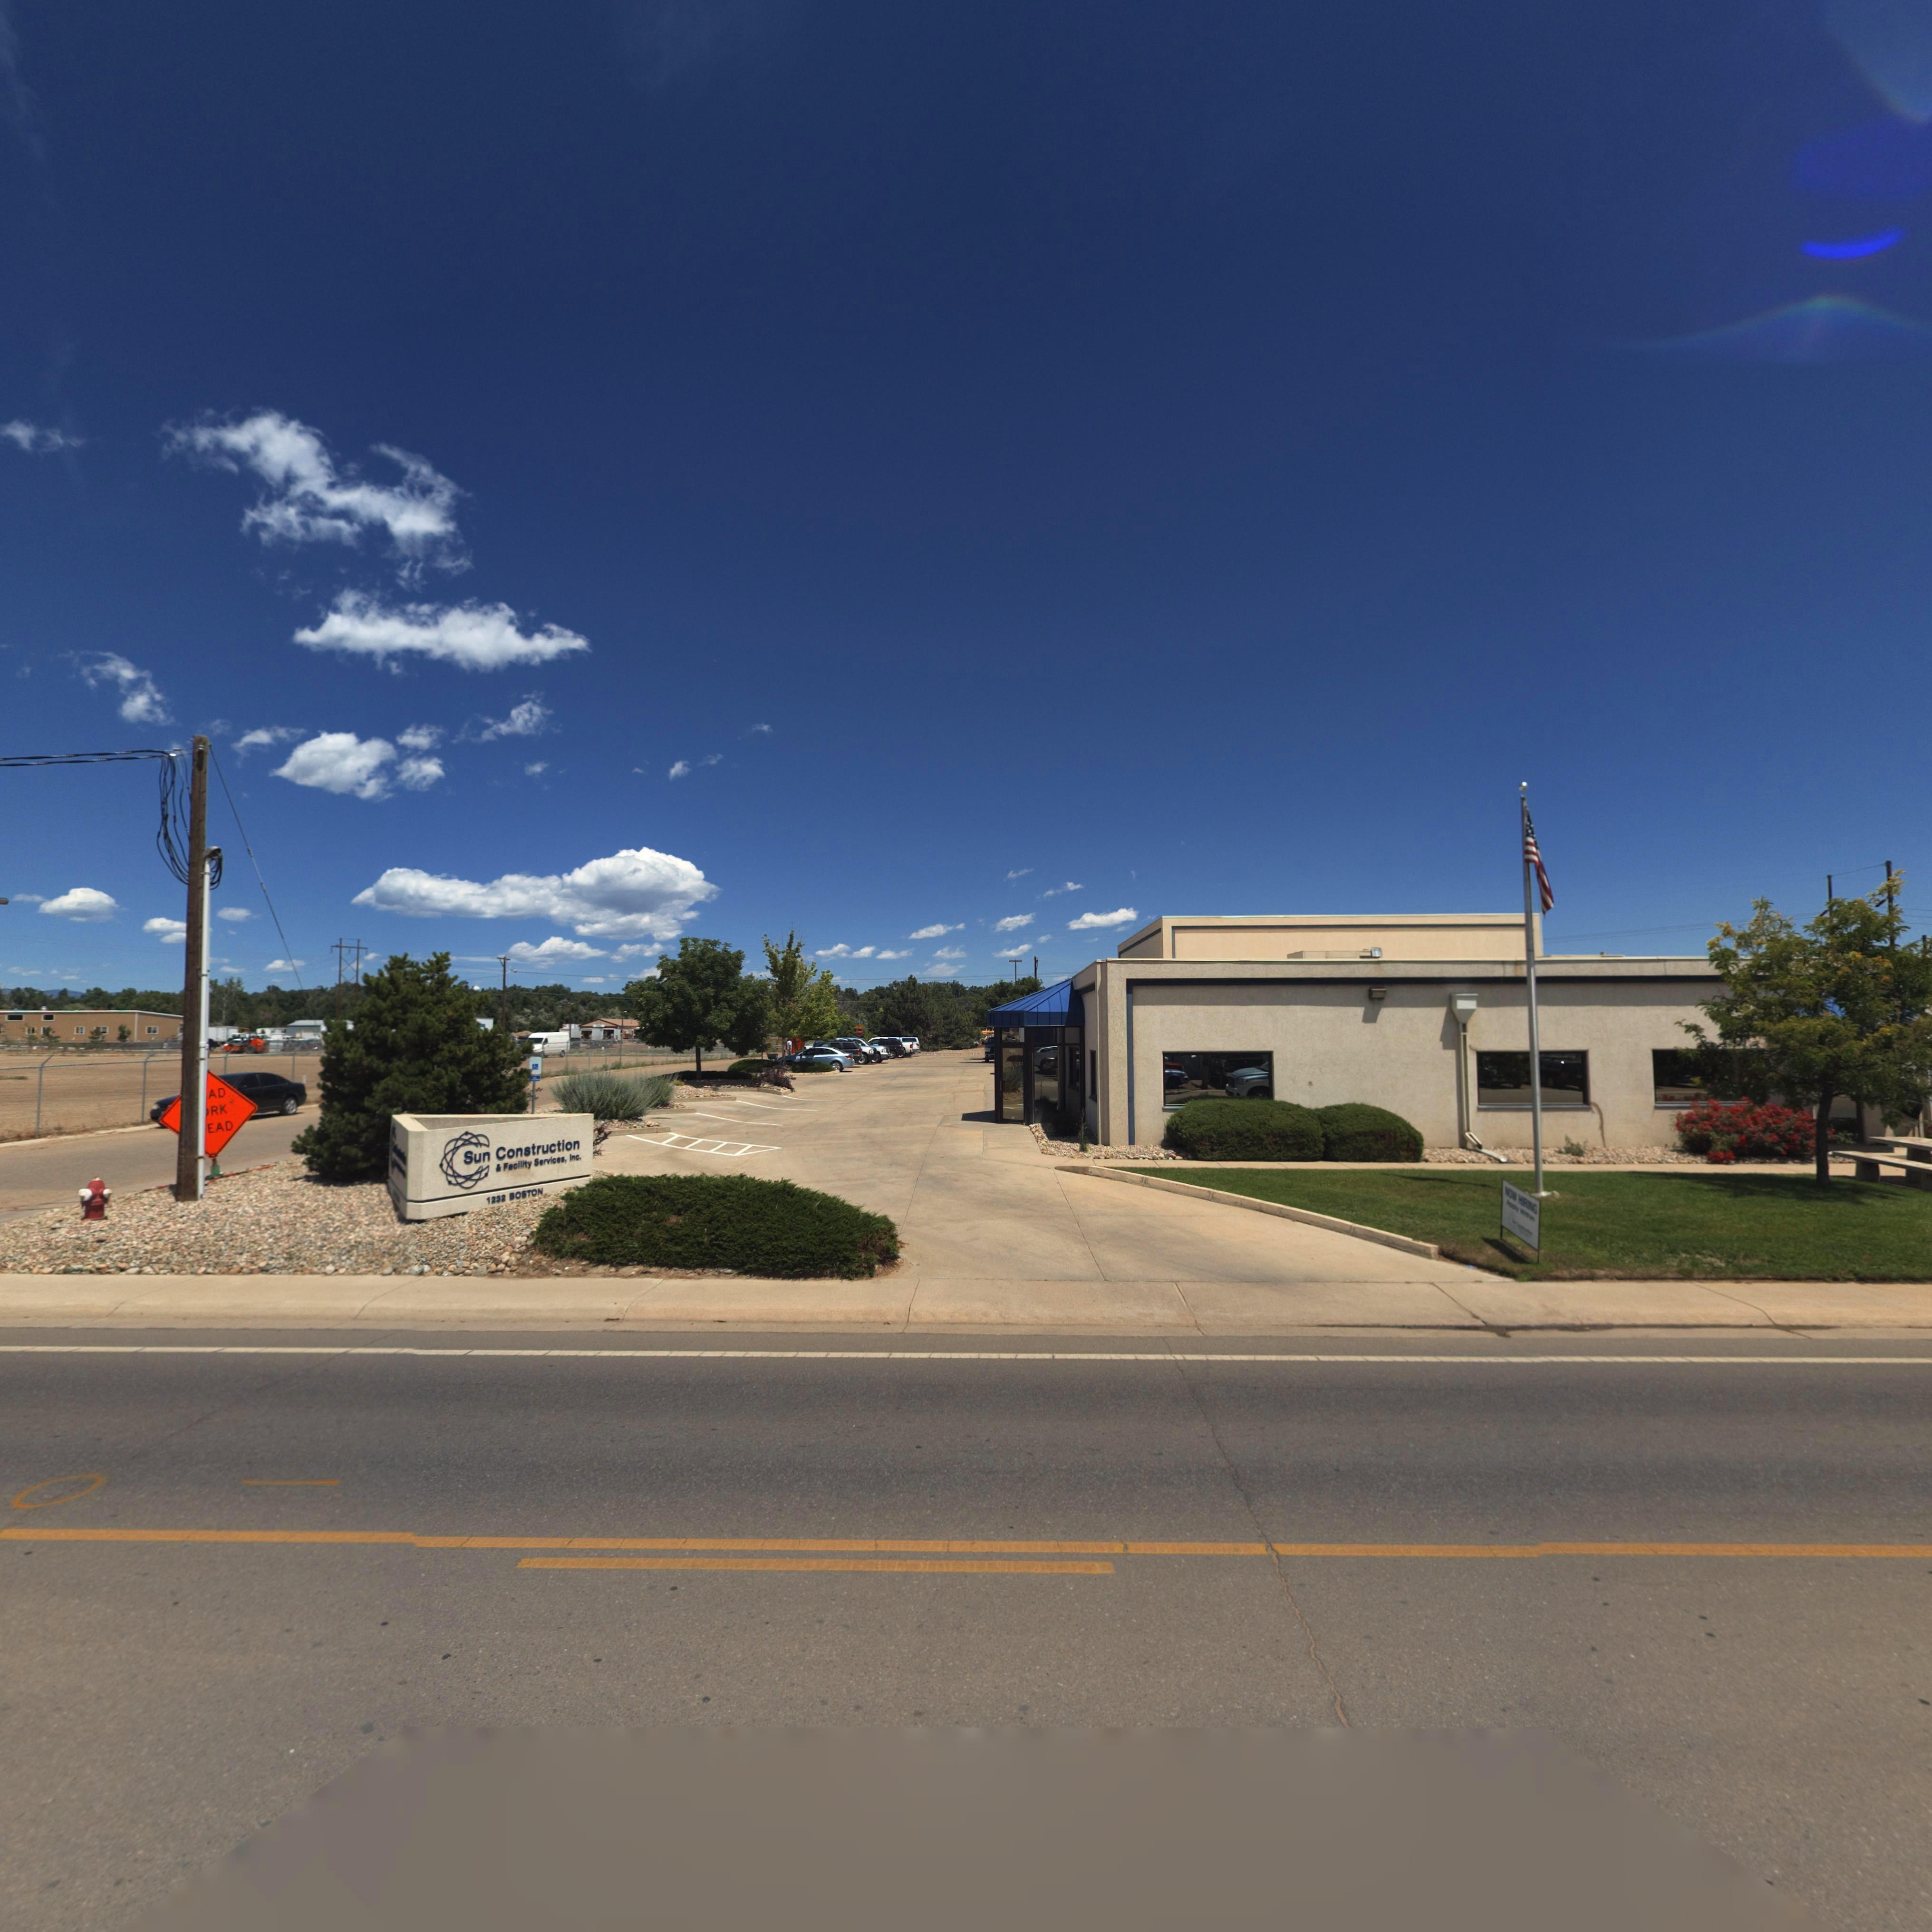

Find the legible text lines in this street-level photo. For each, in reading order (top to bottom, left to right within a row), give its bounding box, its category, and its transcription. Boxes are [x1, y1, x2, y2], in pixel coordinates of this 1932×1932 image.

[1009, 1049, 1015, 1053] StreetNumber: 12**
[463, 1139, 580, 1165] BusinessName: Sun Construction
[495, 1153, 581, 1172] None: & Facility Services, Inc.
[486, 1194, 506, 1205] StreetNumber: 1232
[509, 1187, 543, 1201] StreetName: BOSTON